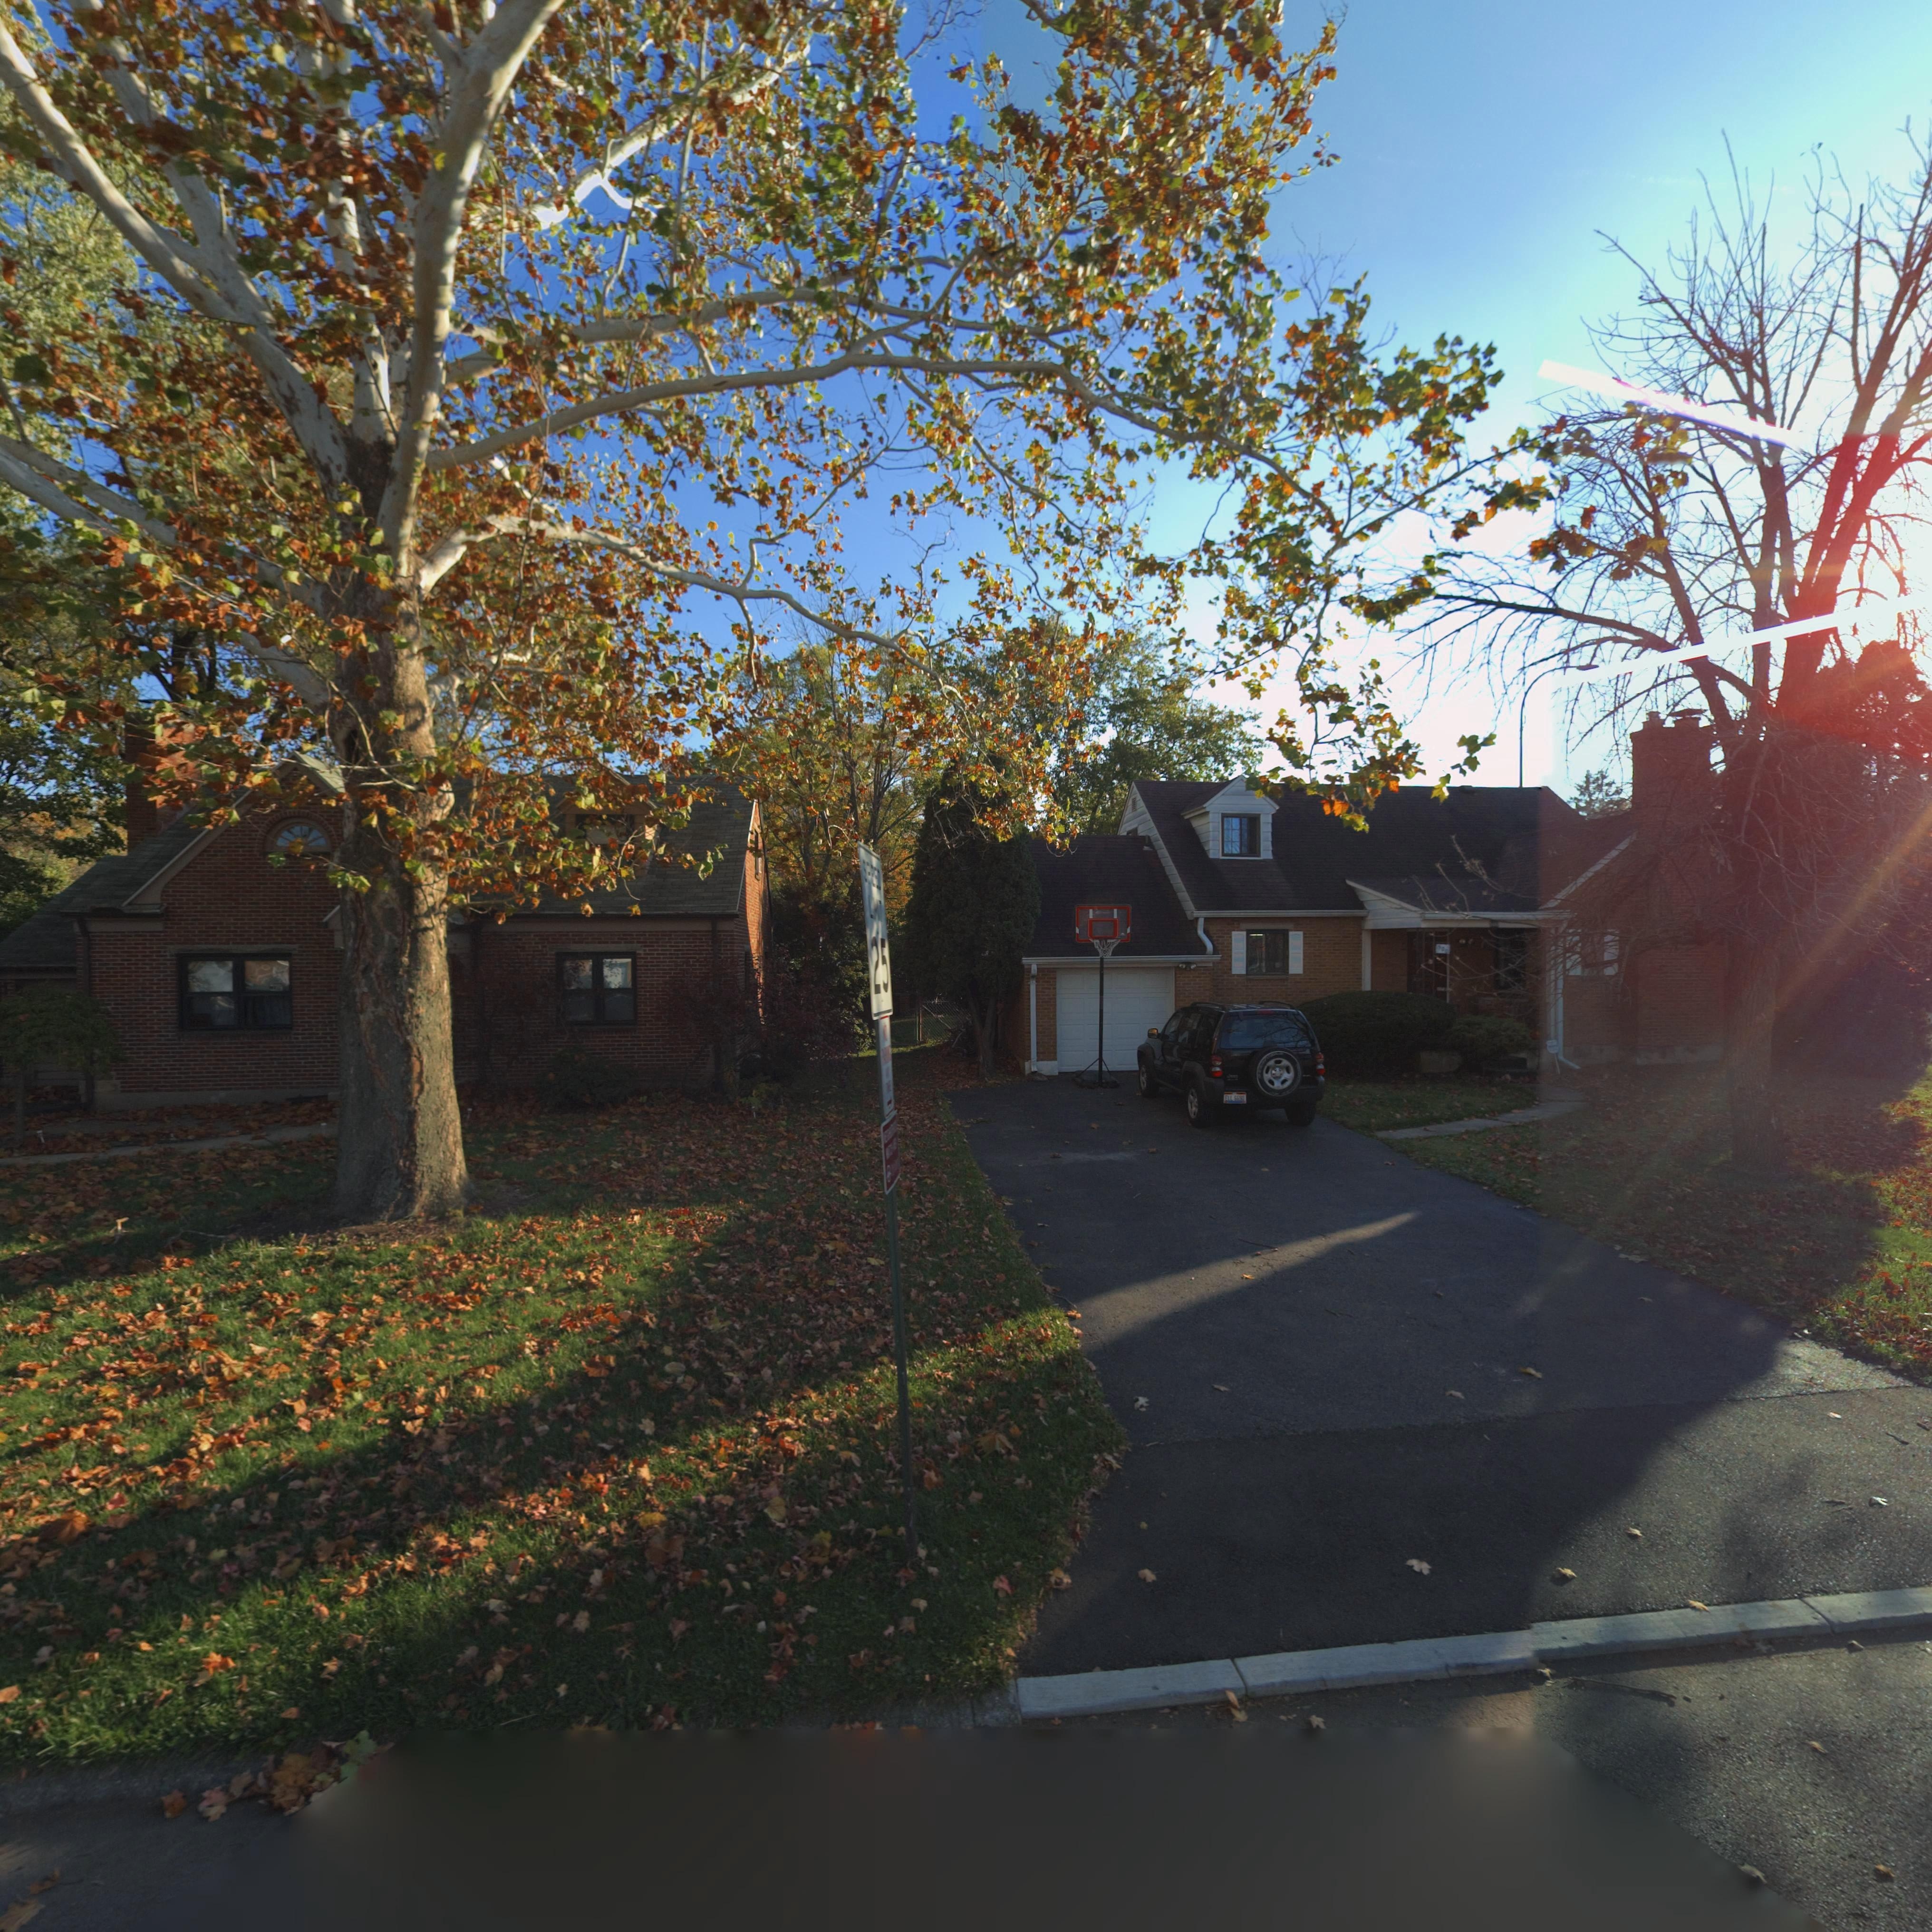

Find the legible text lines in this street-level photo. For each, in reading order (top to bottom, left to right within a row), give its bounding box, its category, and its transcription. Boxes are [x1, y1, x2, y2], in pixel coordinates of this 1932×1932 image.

[1437, 943, 1449, 954] StreetNumber: *00